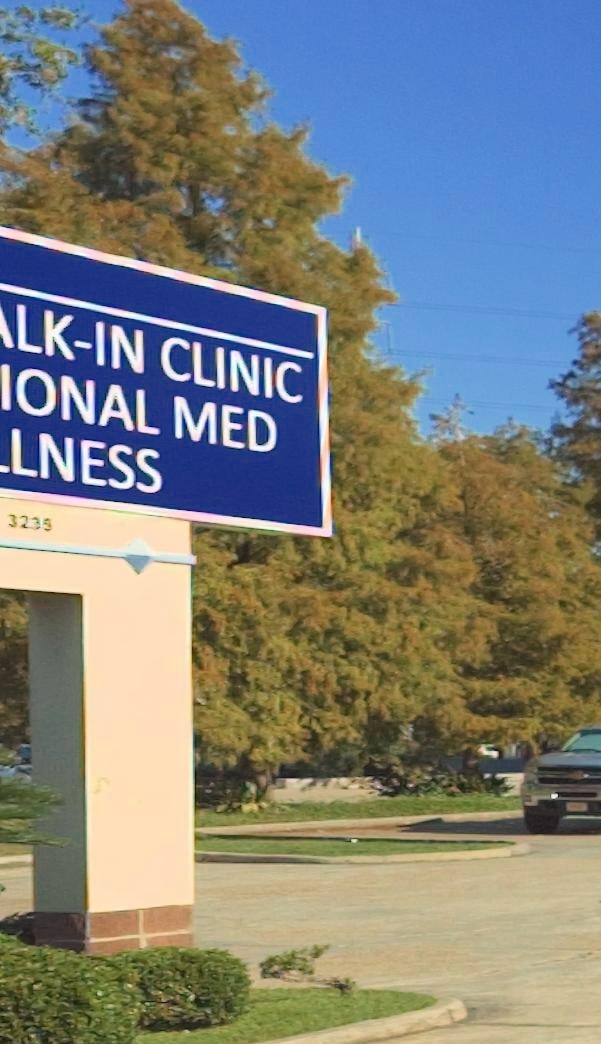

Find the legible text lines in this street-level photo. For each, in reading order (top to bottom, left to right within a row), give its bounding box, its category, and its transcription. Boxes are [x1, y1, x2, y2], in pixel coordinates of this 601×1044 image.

[12, 297, 309, 410] BusinessName: LK-IN CLINIC
[5, 419, 169, 498] BusinessName: LNESS
[7, 359, 286, 460] BusinessName: ONAL MED
[6, 511, 47, 533] StreetNumber: 323